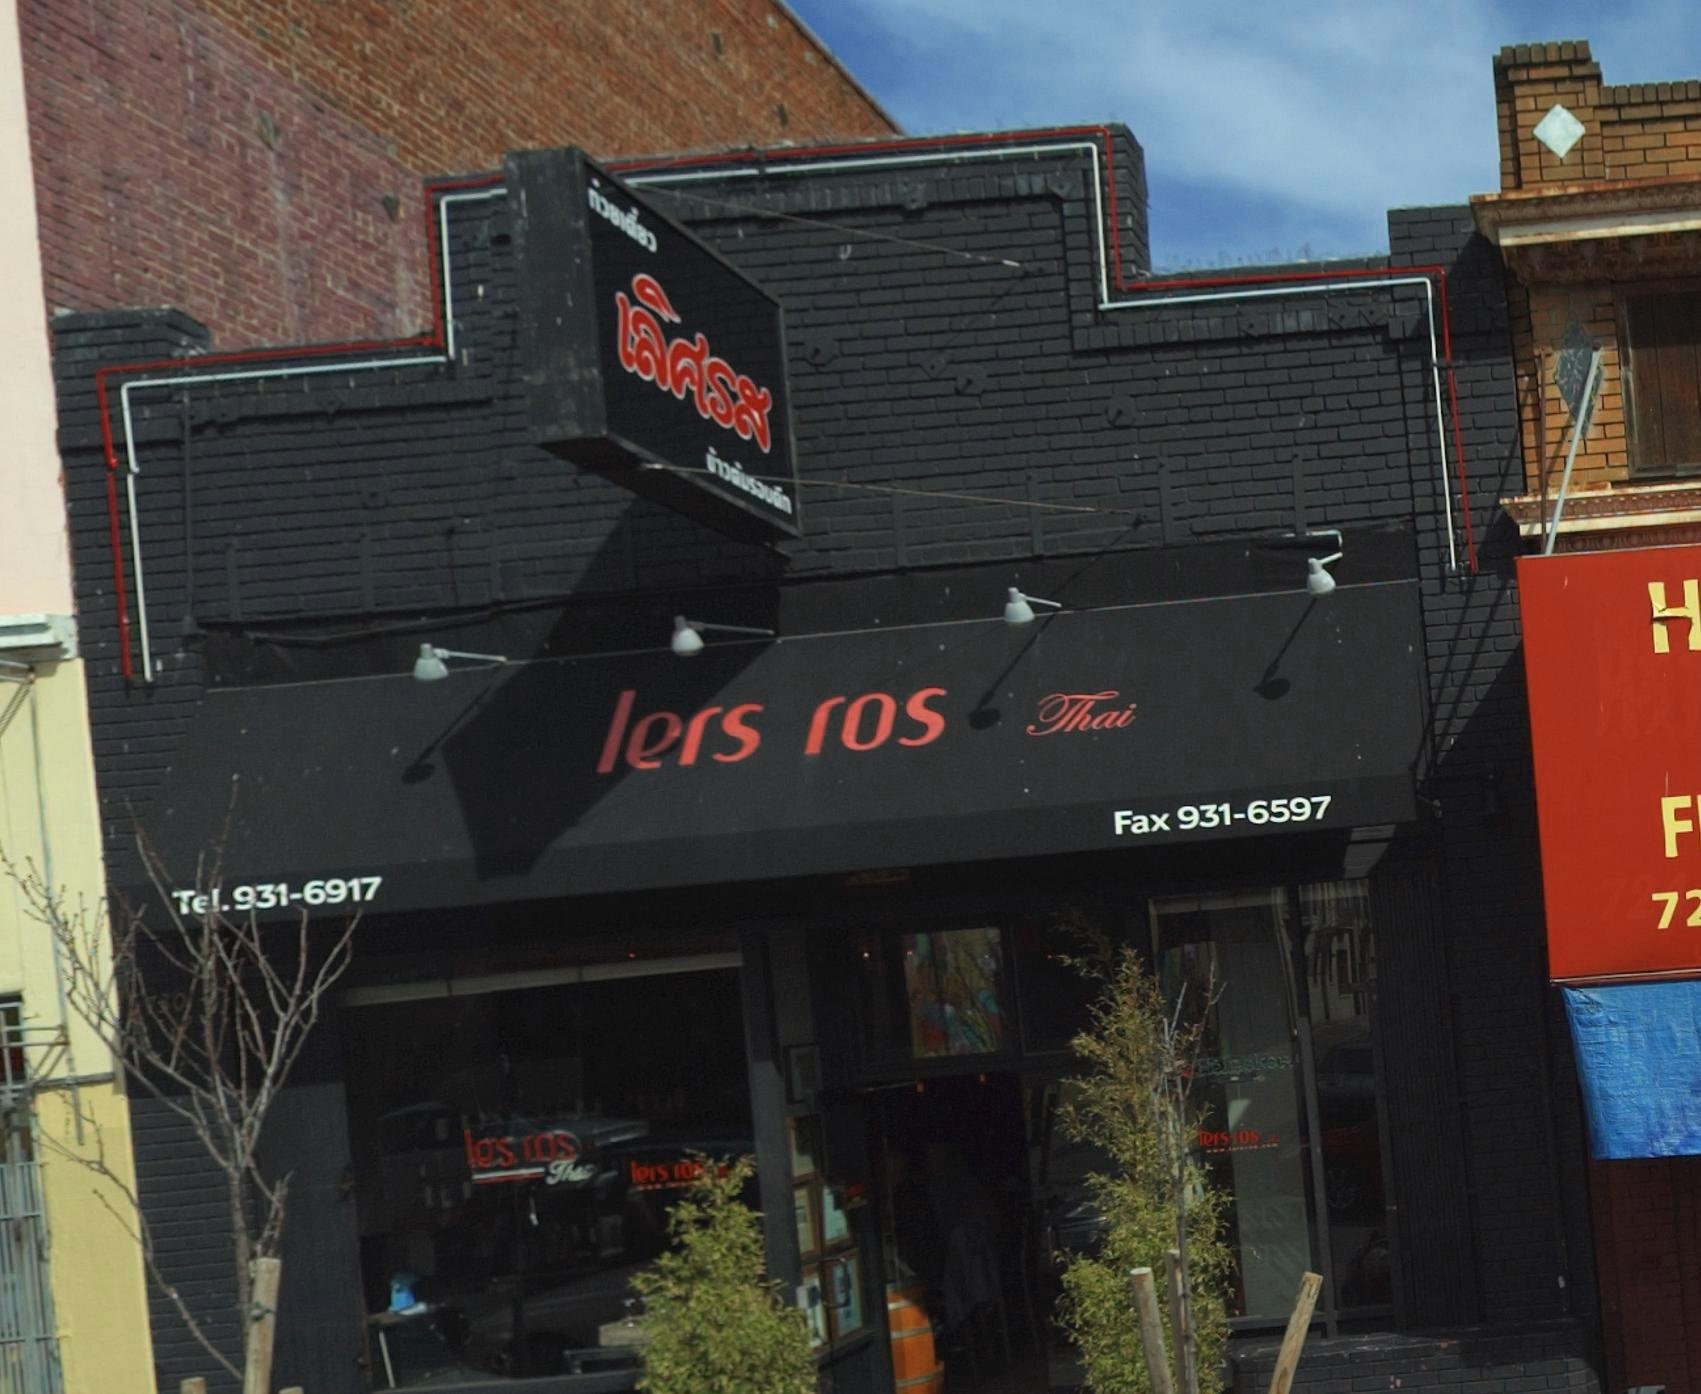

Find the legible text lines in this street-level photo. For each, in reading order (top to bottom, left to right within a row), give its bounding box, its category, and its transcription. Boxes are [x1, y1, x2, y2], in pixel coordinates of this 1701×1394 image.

[610, 283, 776, 454] BusinessName: la*s*
[1644, 577, 1701, 656] BusinessName: H
[582, 681, 953, 784] BusinessName: lers ros
[1029, 679, 1144, 742] BusinessName: Thai
[1112, 792, 1336, 839] None: Fax 931-6597
[1655, 791, 1697, 862] None: F
[168, 872, 388, 919] None: T**.931-6917
[1649, 889, 1682, 932] None: 7
[457, 1123, 579, 1175] BusinessName: le*s ros
[628, 1158, 696, 1187] BusinessName: lers ro
[1194, 1125, 1263, 1151] BusinessName: lers ros